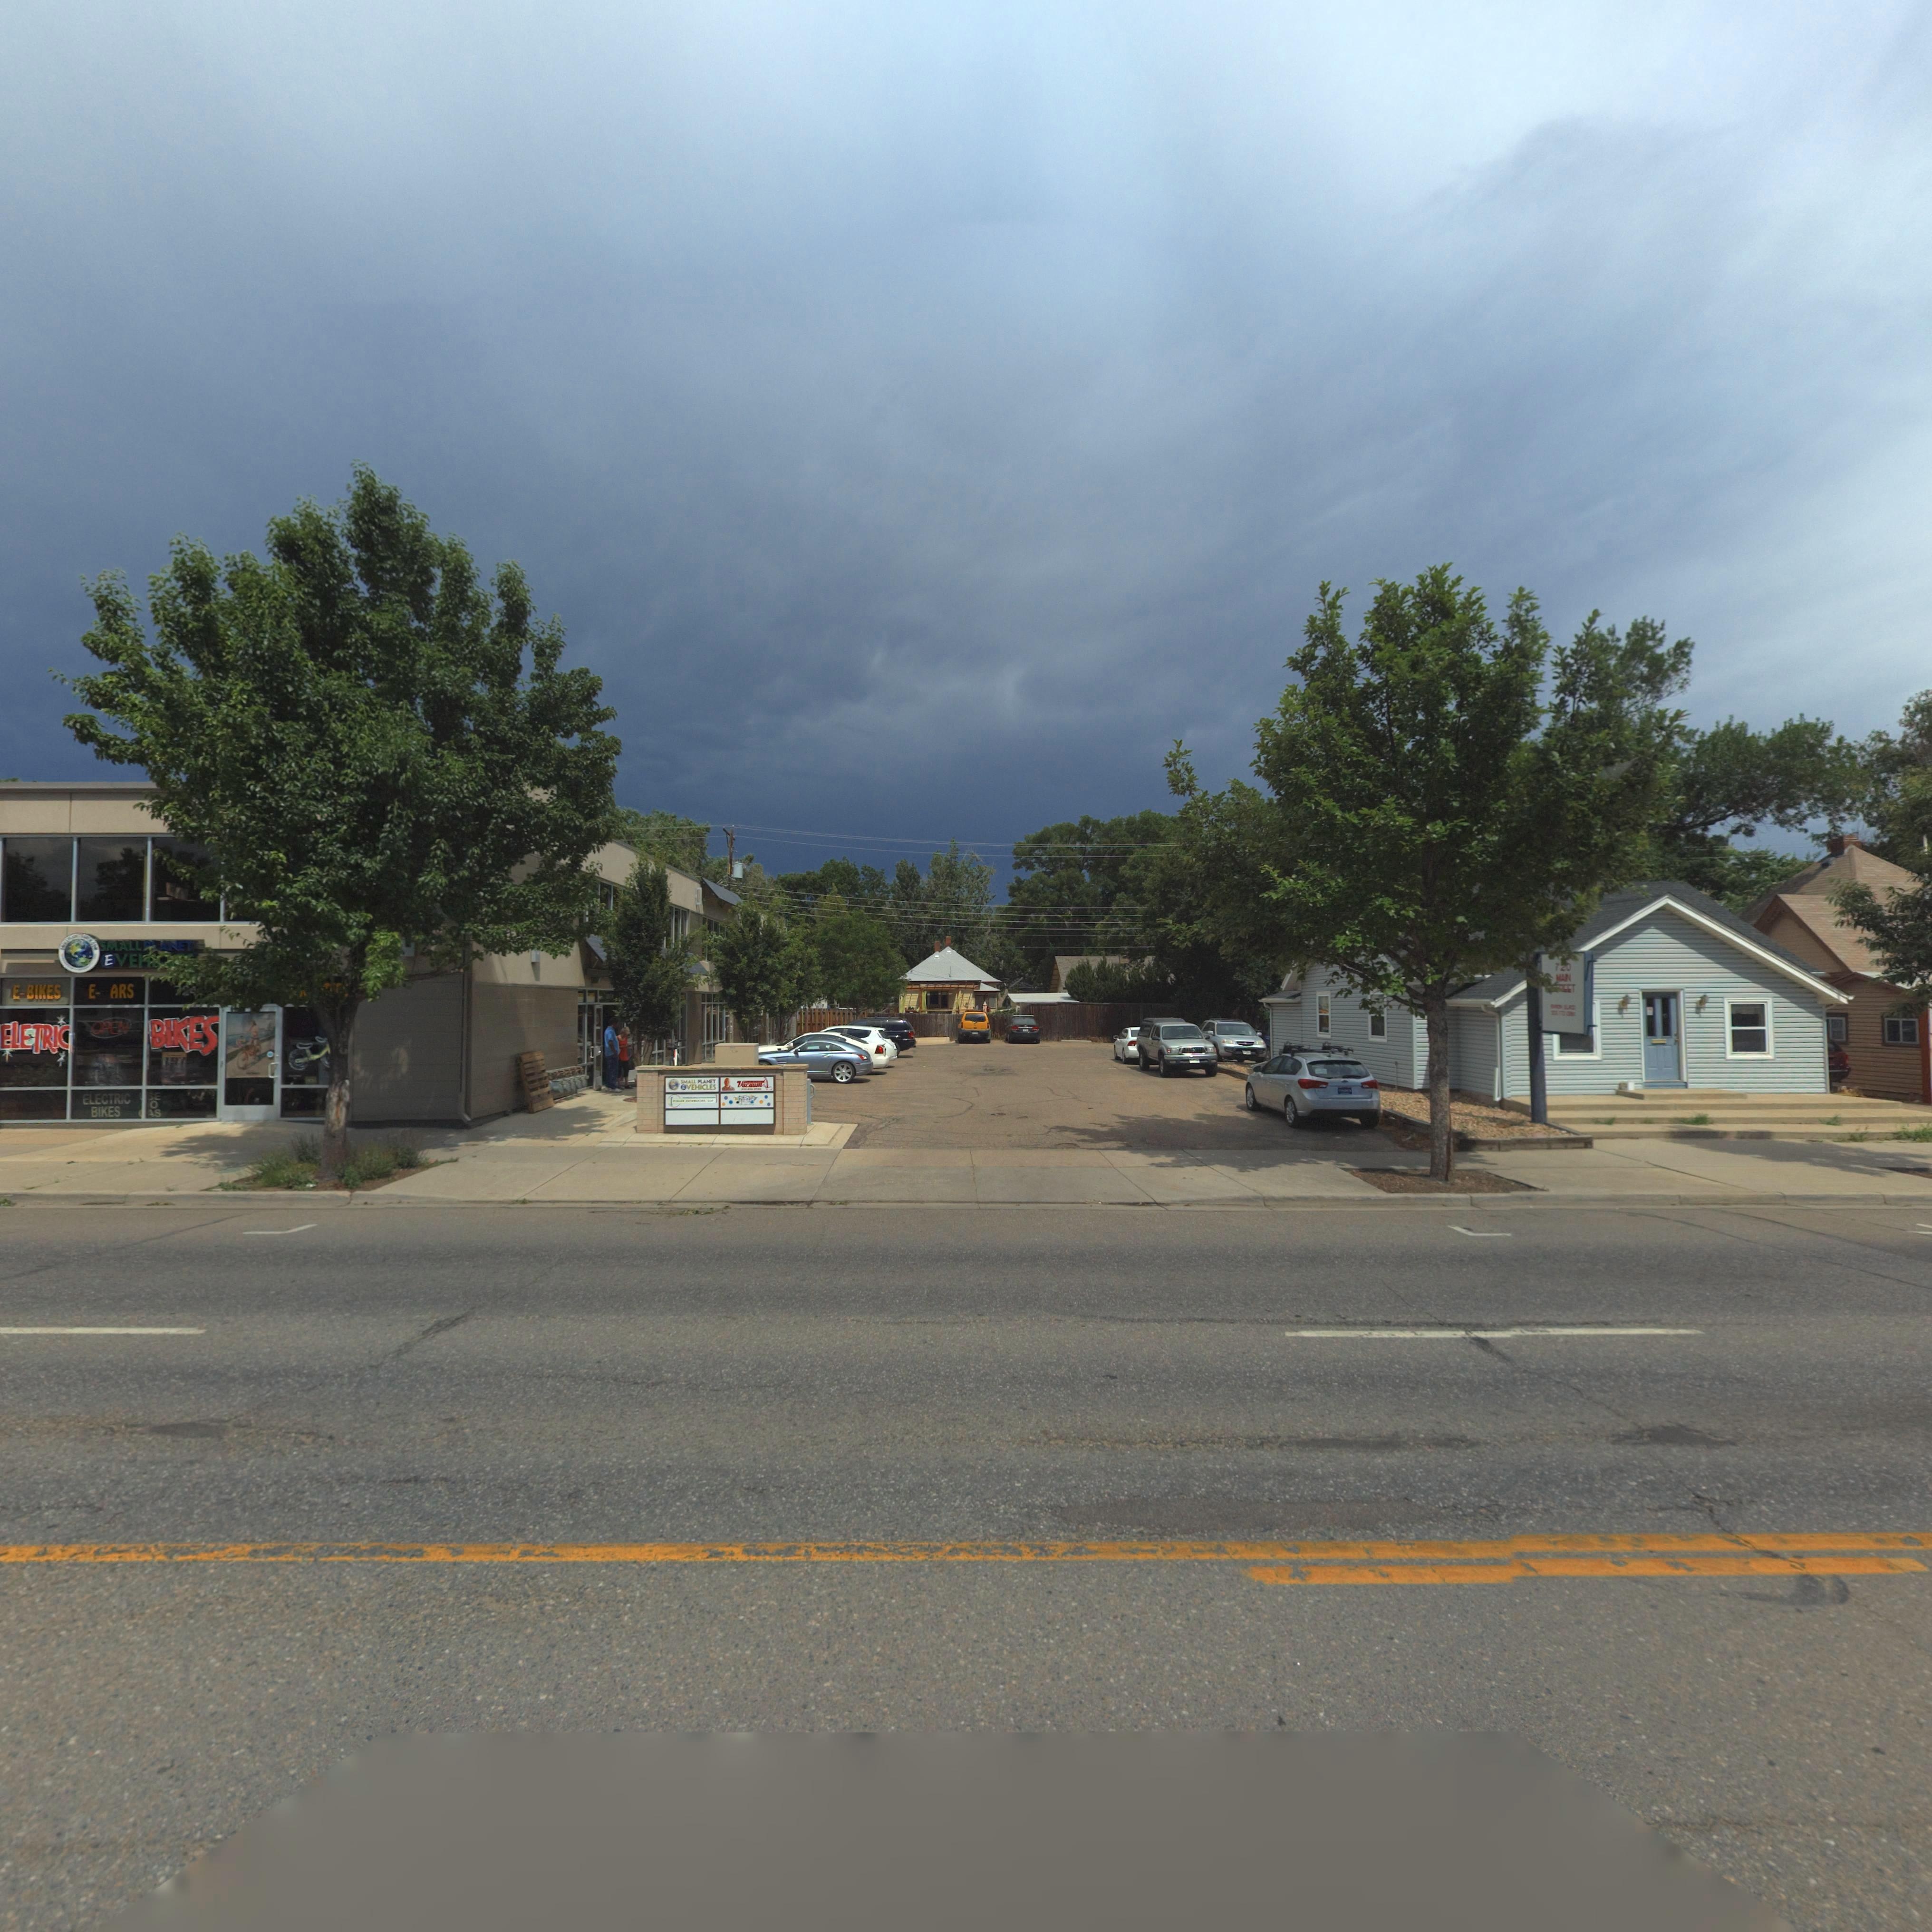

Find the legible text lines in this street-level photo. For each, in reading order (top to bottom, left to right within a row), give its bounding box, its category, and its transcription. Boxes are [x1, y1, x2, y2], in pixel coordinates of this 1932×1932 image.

[1555, 962, 1572, 971] StreetNumber: 720
[1555, 972, 1572, 982] StreetName: MAIN
[1562, 982, 1576, 994] StreetName: EET
[681, 1079, 716, 1084] BusinessName: SMALL PLANET
[682, 1084, 716, 1090] BusinessName: EVEHICLES
[737, 1080, 763, 1087] BusinessName: Vacium
[672, 1099, 713, 1102] BusinessName: F***** ********